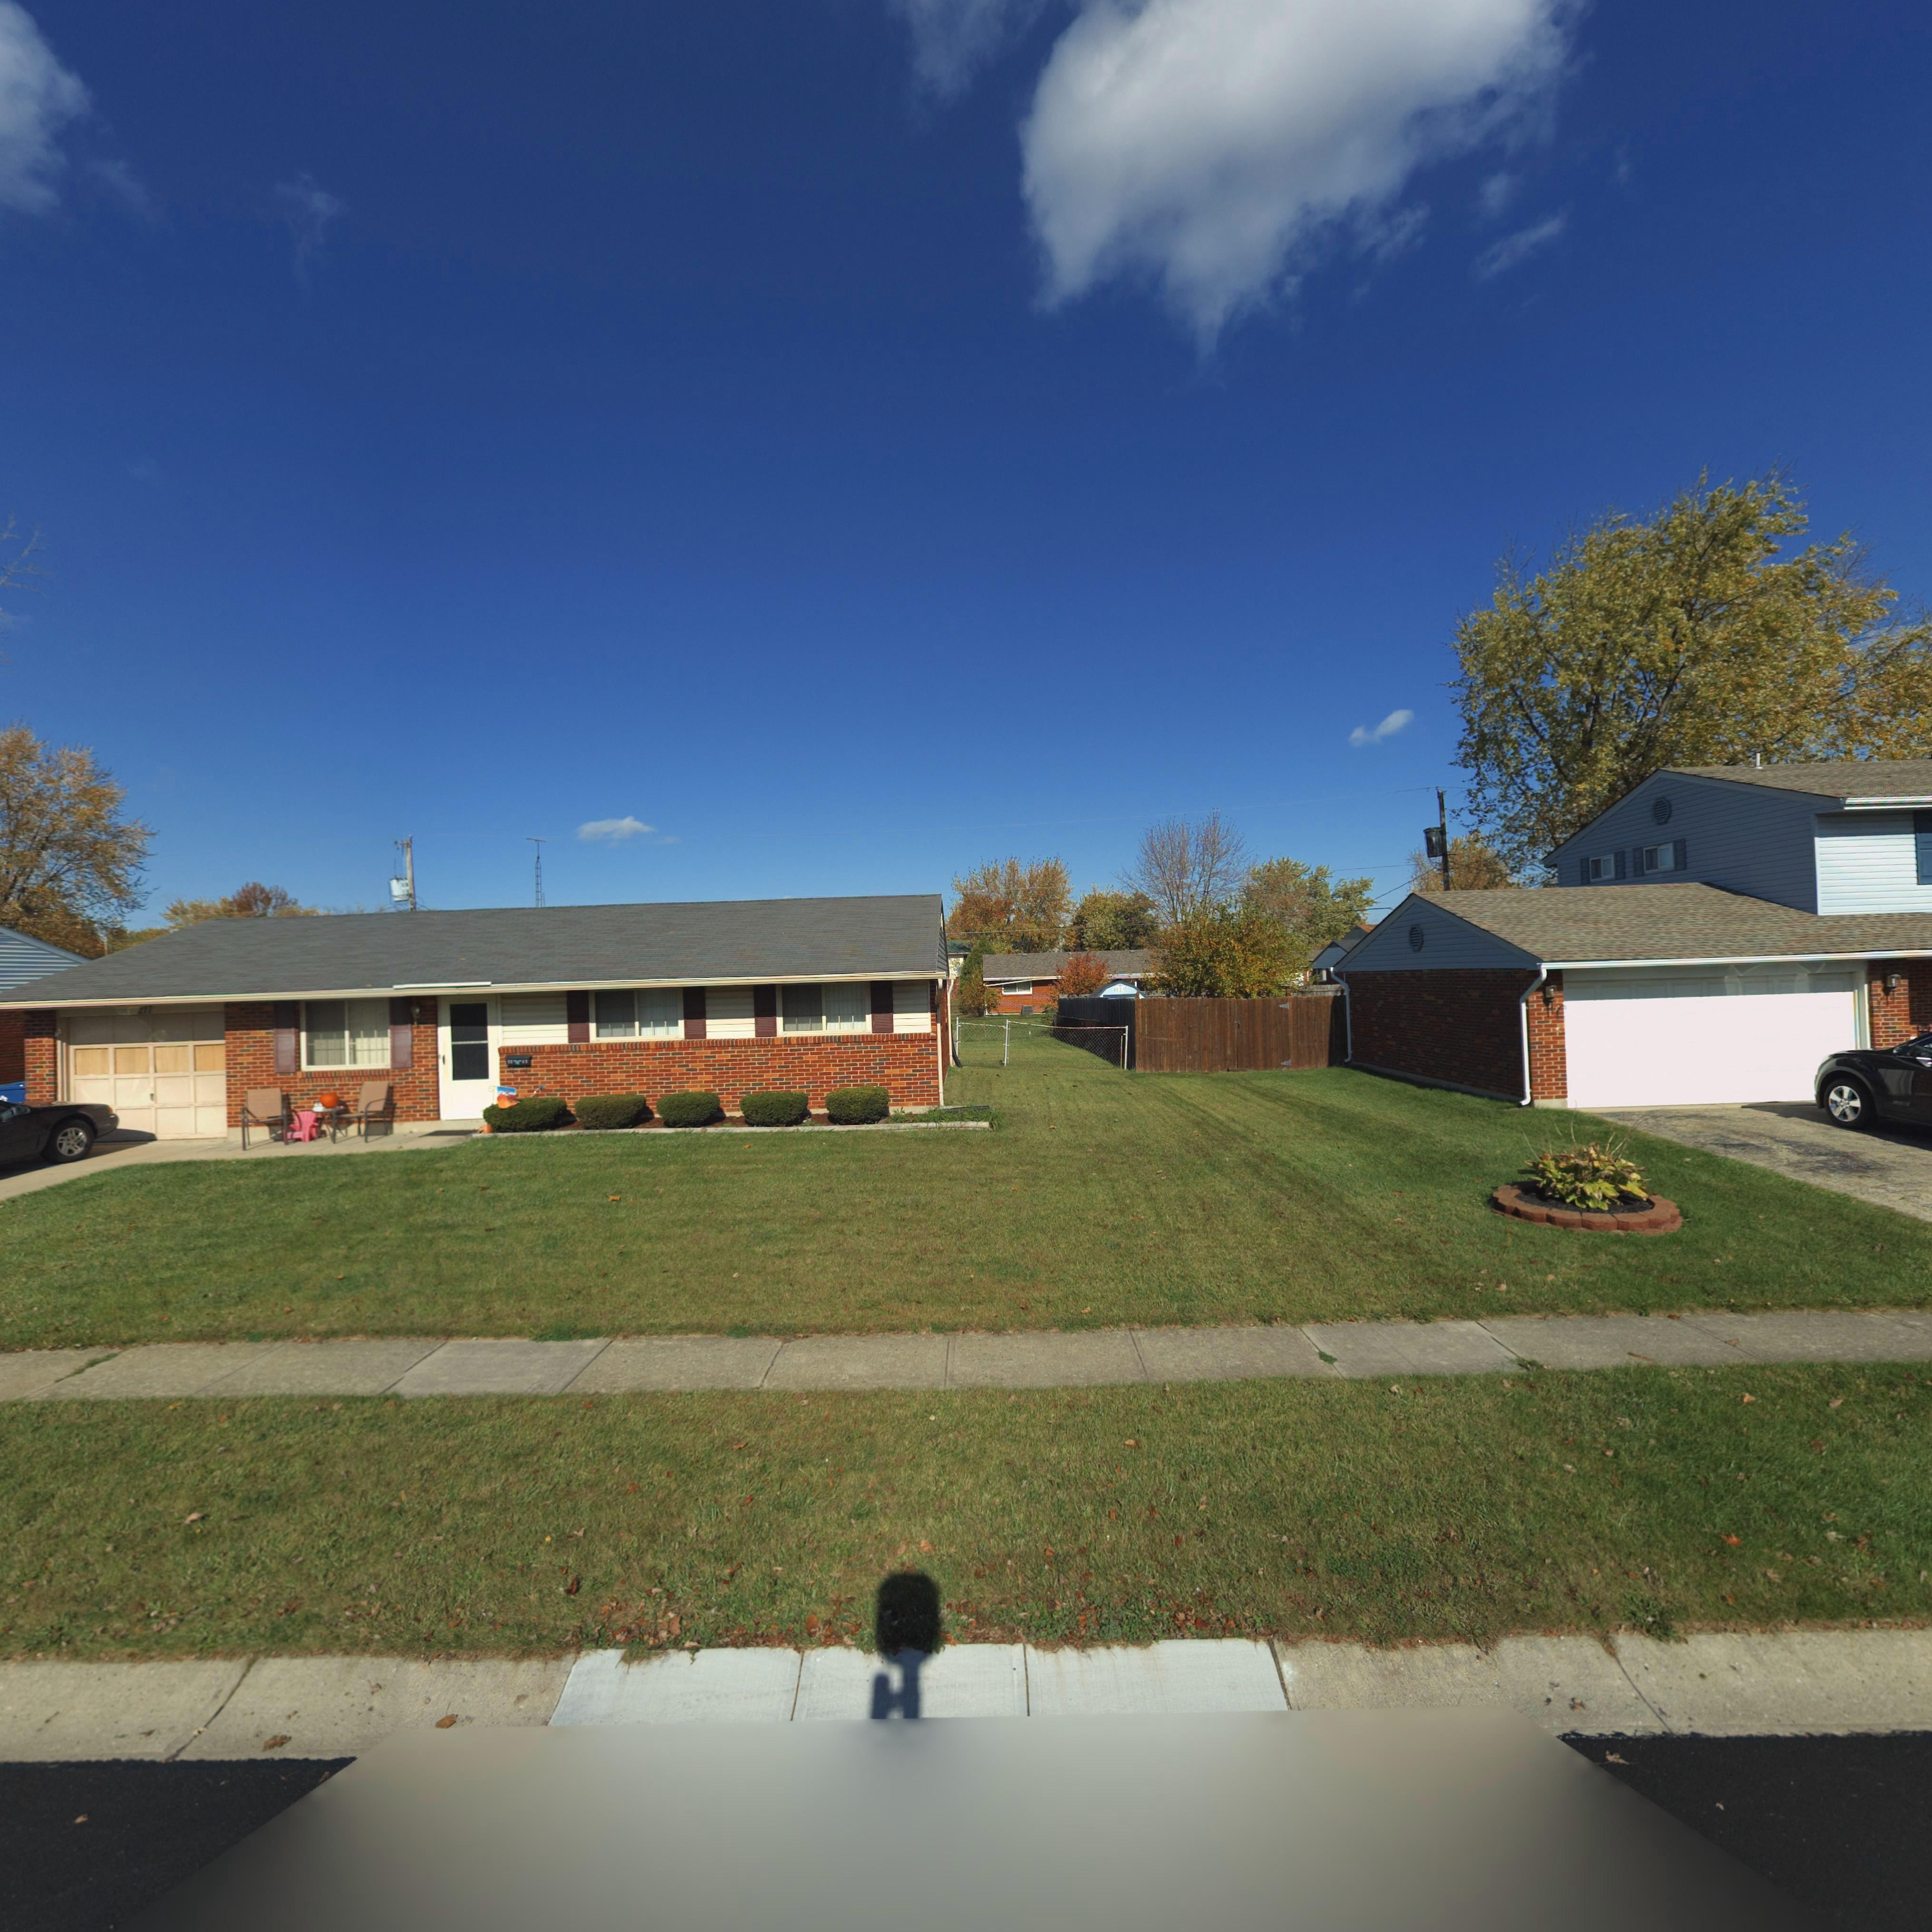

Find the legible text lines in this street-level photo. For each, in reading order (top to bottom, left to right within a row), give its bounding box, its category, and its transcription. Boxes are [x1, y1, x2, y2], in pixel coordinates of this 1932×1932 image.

[143, 1005, 154, 1015] StreetNumber: 17